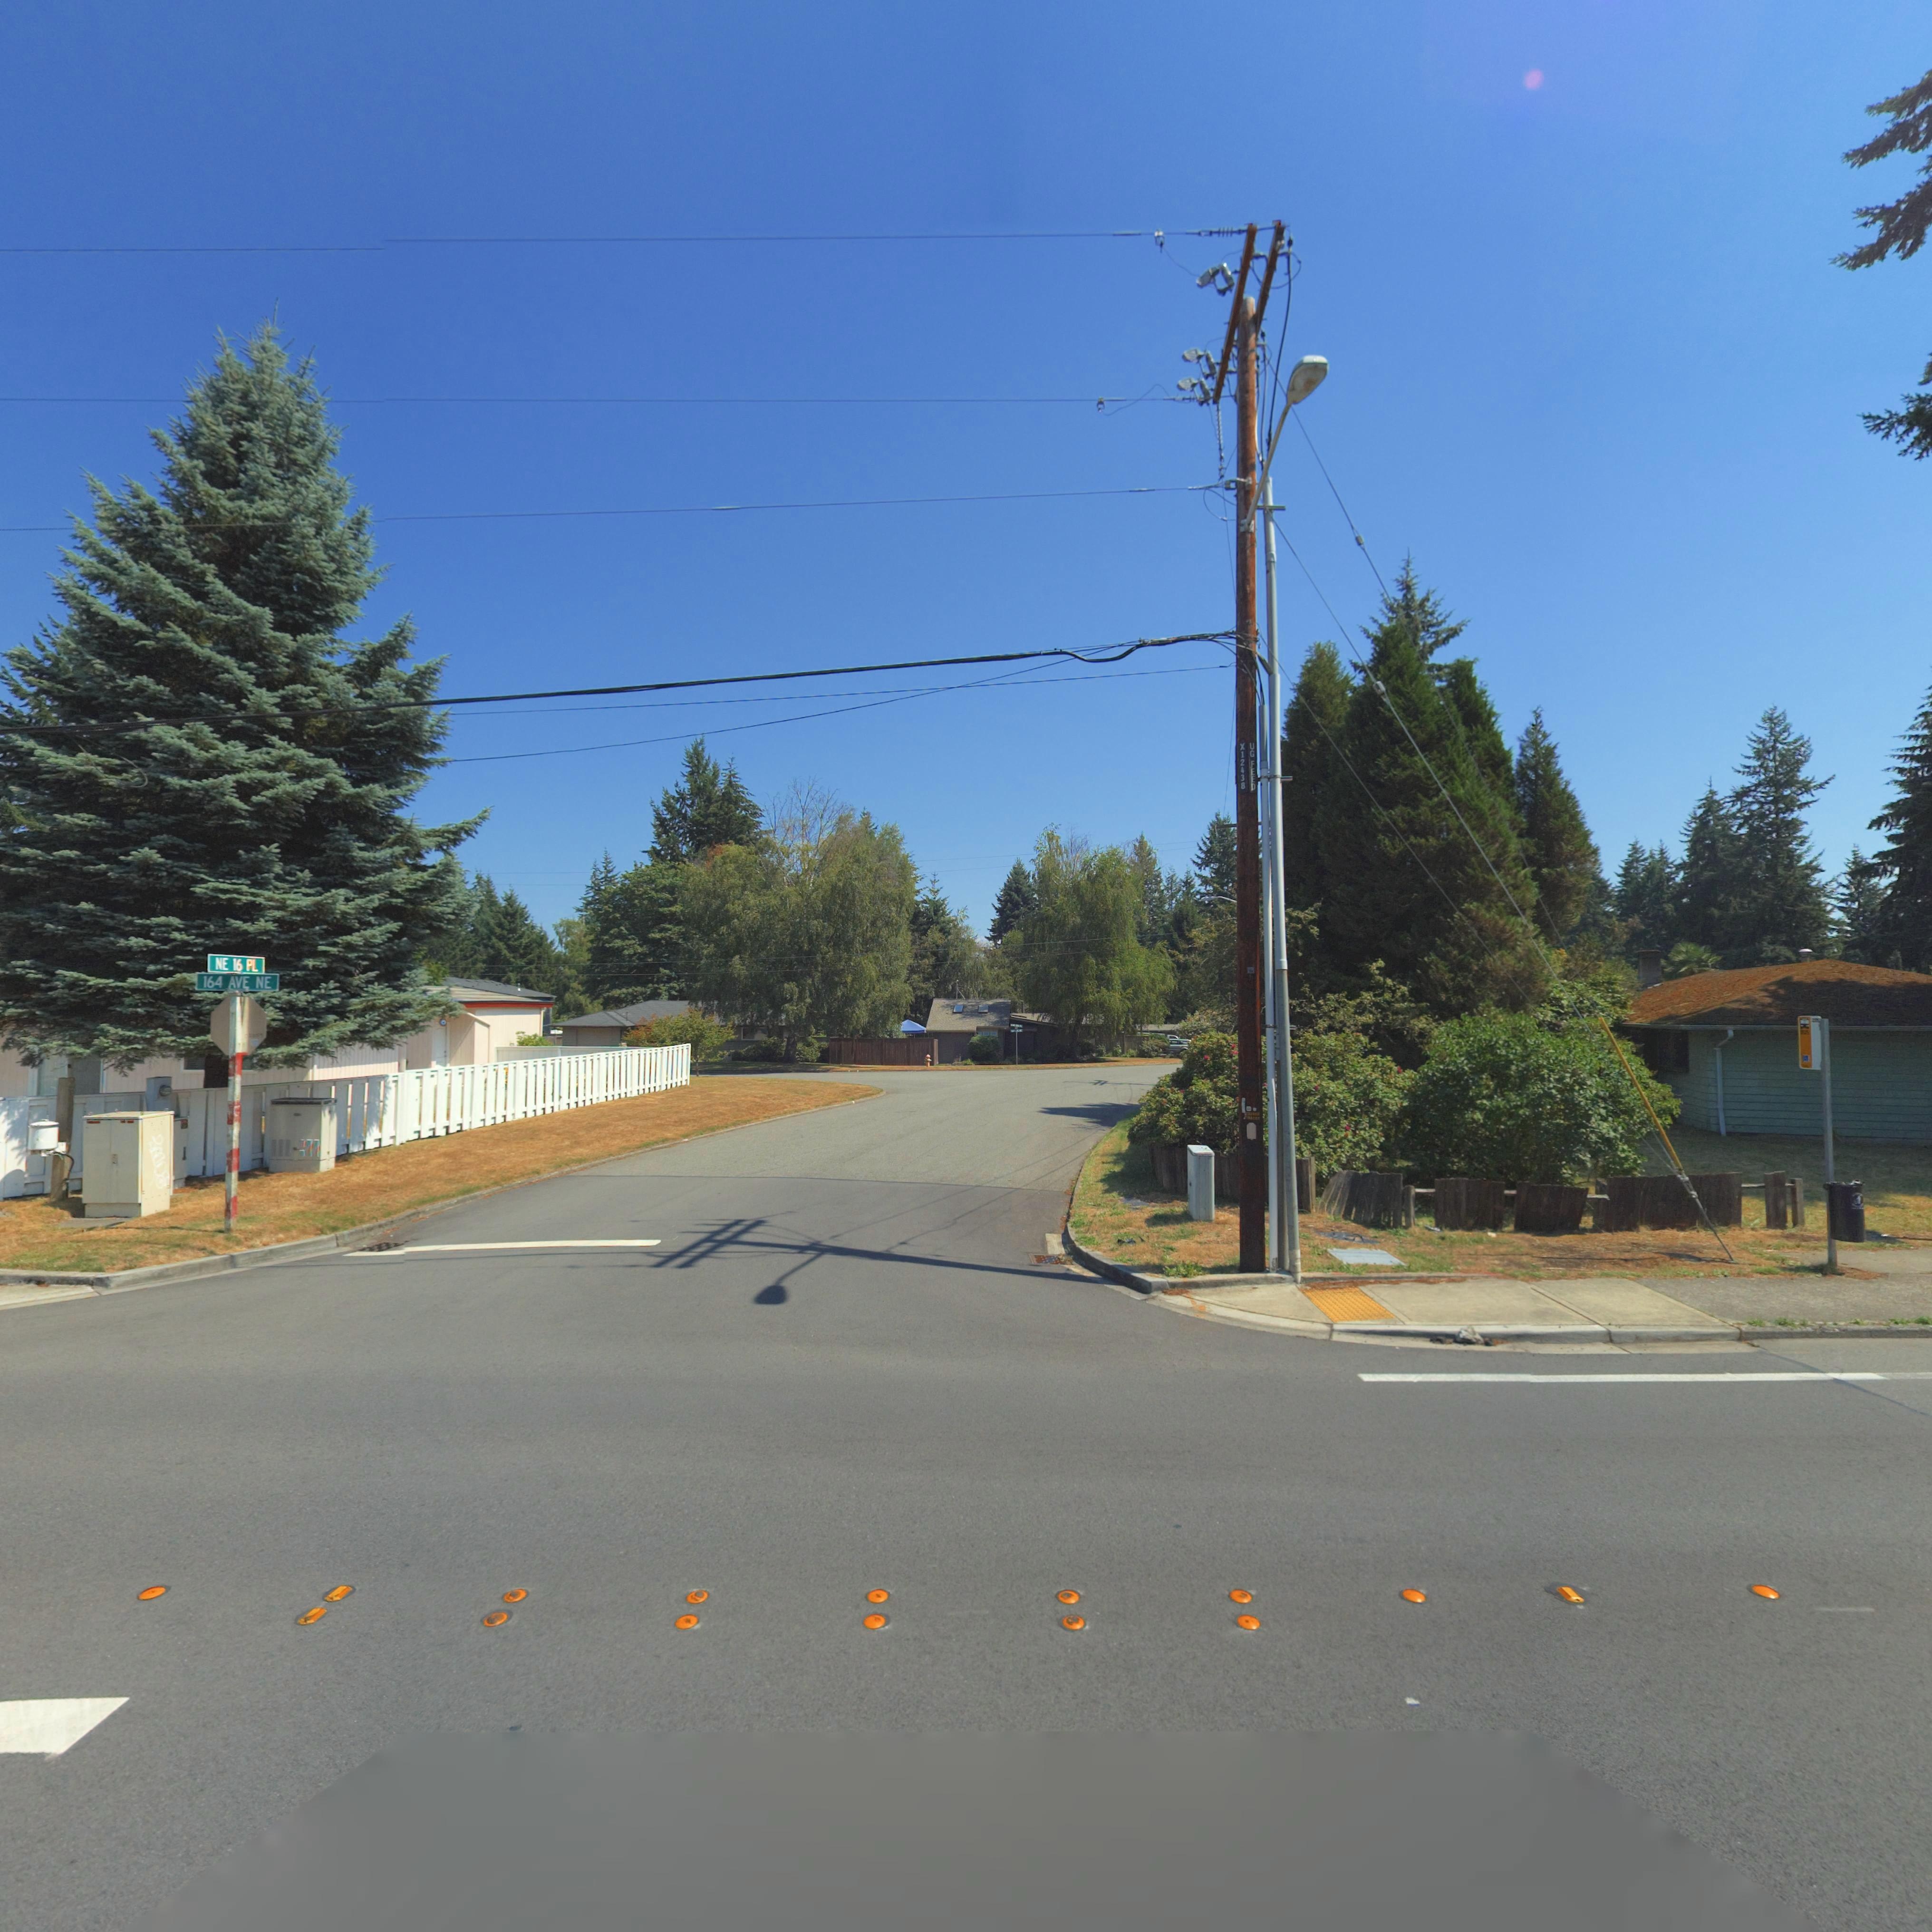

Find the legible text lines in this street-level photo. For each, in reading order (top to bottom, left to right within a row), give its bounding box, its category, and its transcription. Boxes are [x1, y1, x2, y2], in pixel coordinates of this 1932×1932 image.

[213, 956, 261, 974] StreetNumber: NE 16 PL
[201, 974, 272, 990] StreetName: 164 AVE NE